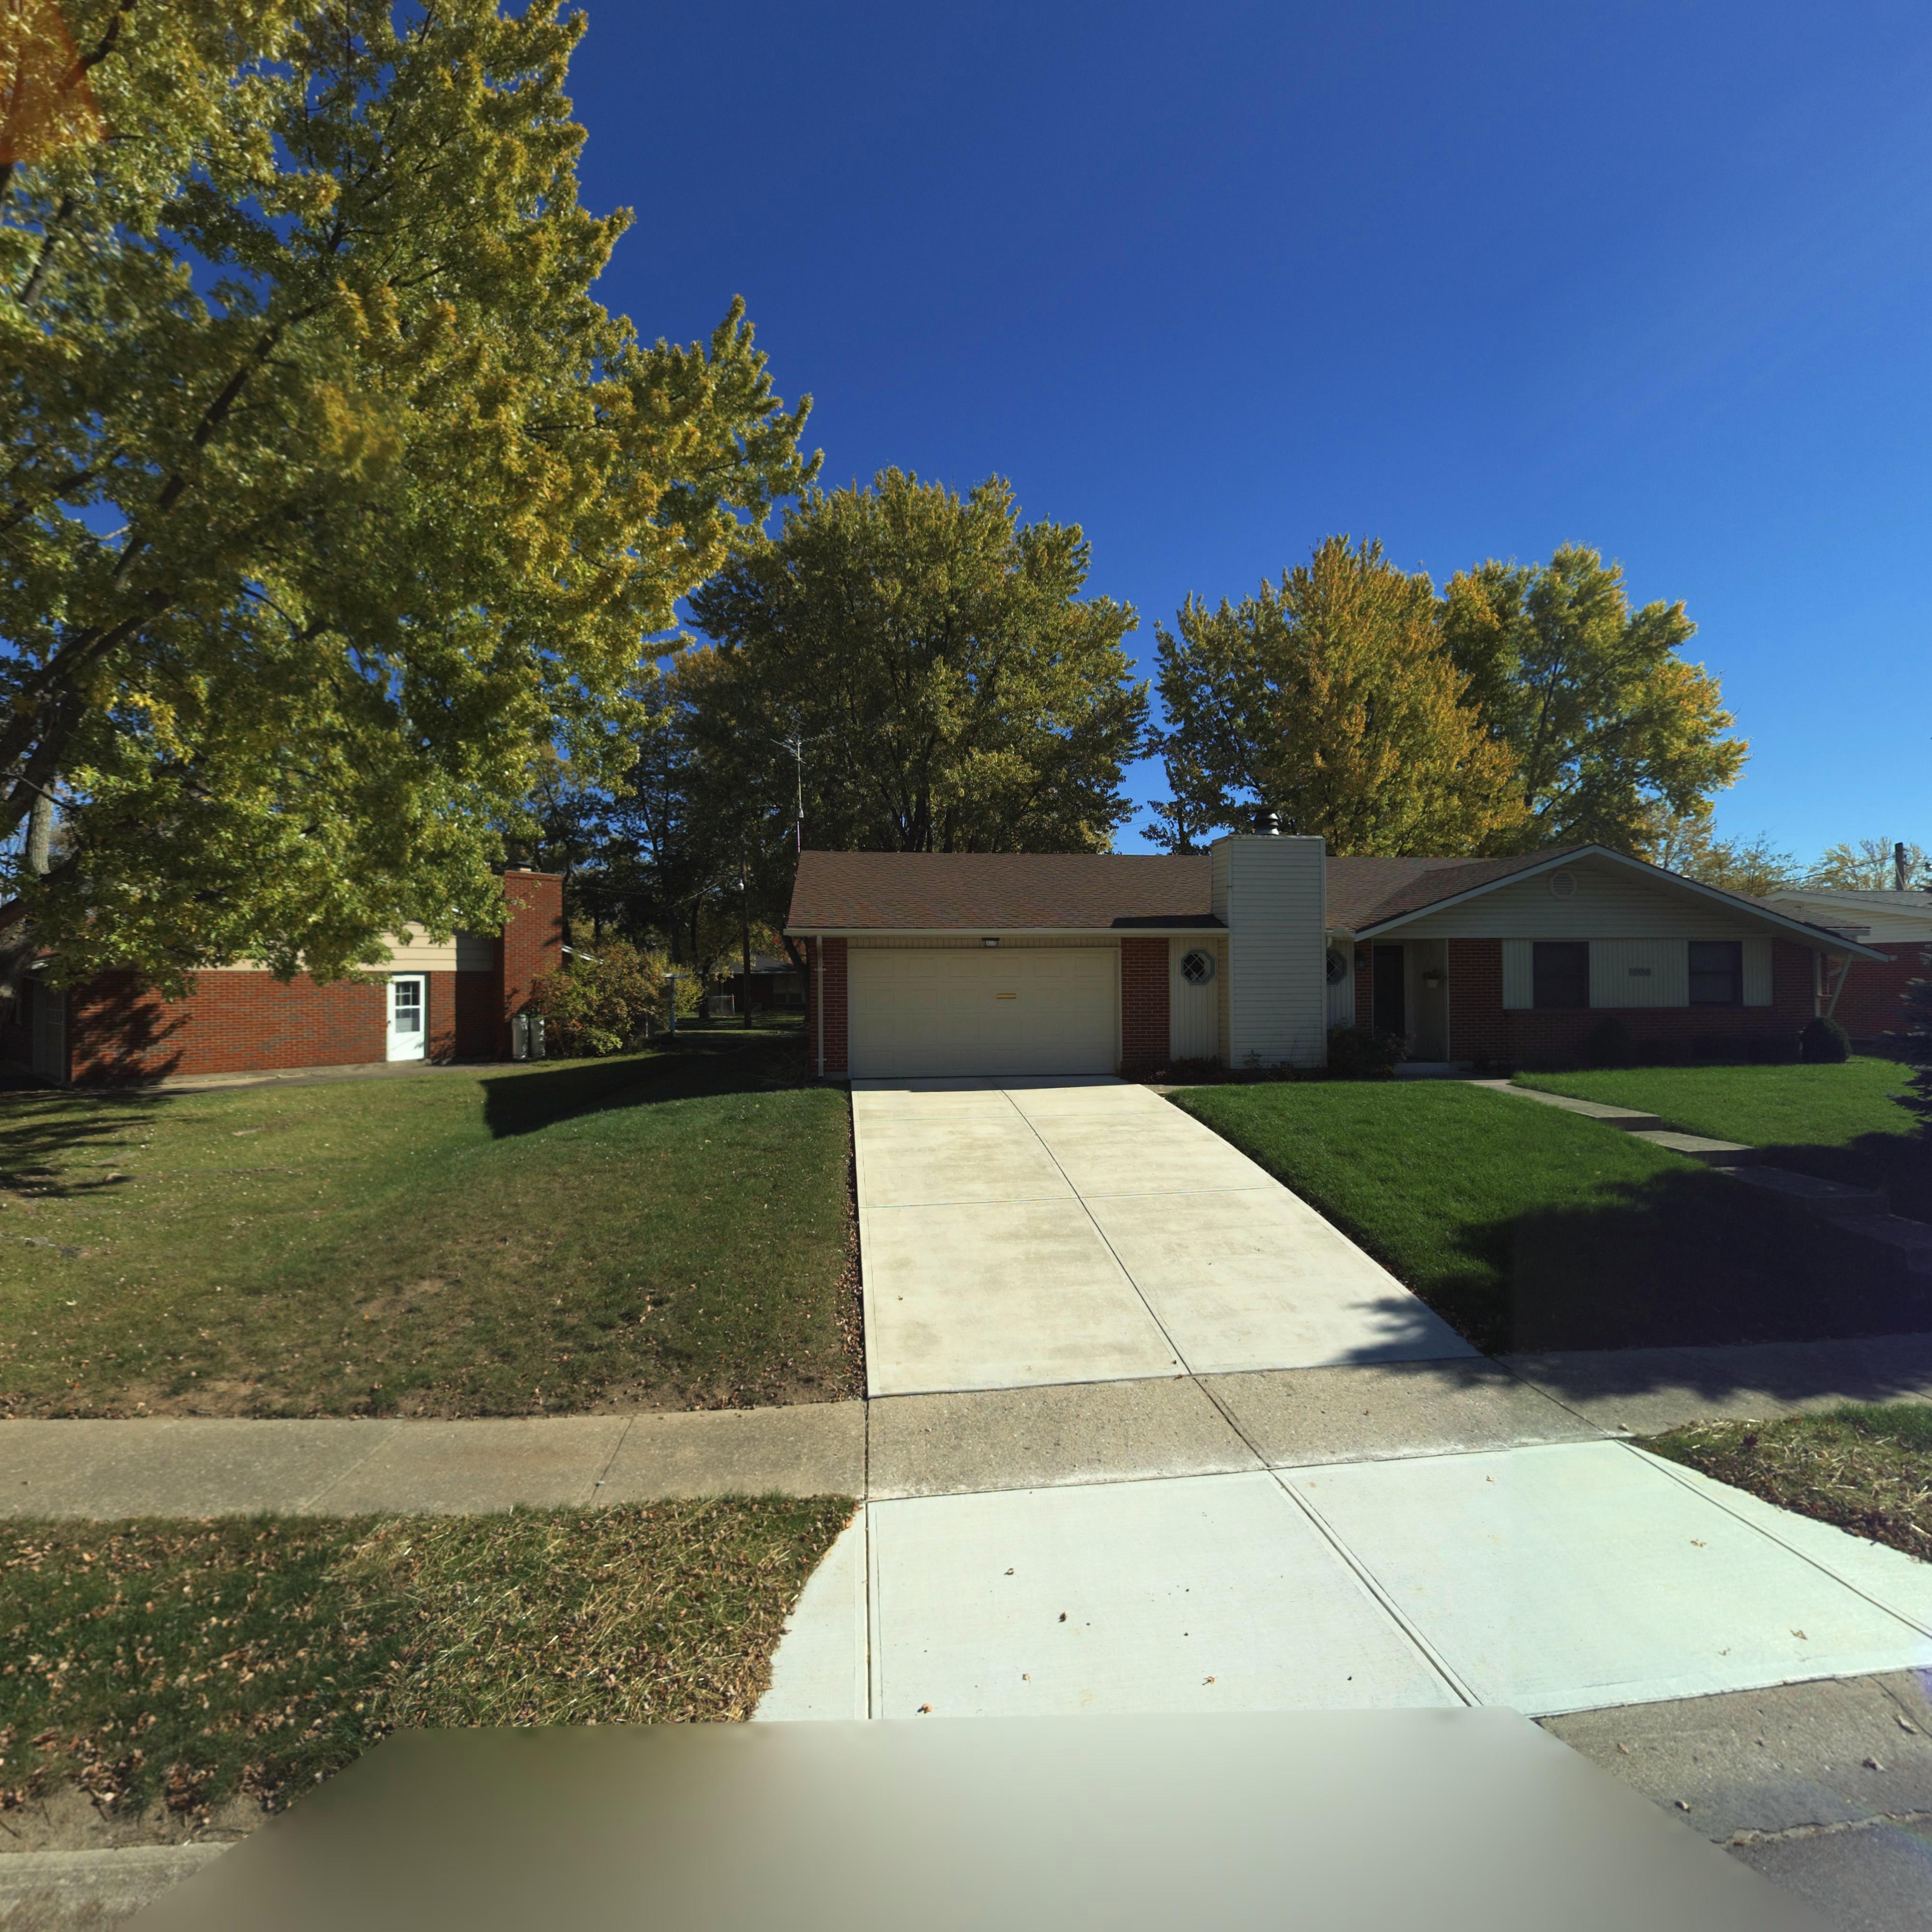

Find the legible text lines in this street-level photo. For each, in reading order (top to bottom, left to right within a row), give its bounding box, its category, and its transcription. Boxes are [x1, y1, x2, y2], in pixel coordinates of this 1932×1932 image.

[1628, 967, 1652, 976] StreetNumber: 1008